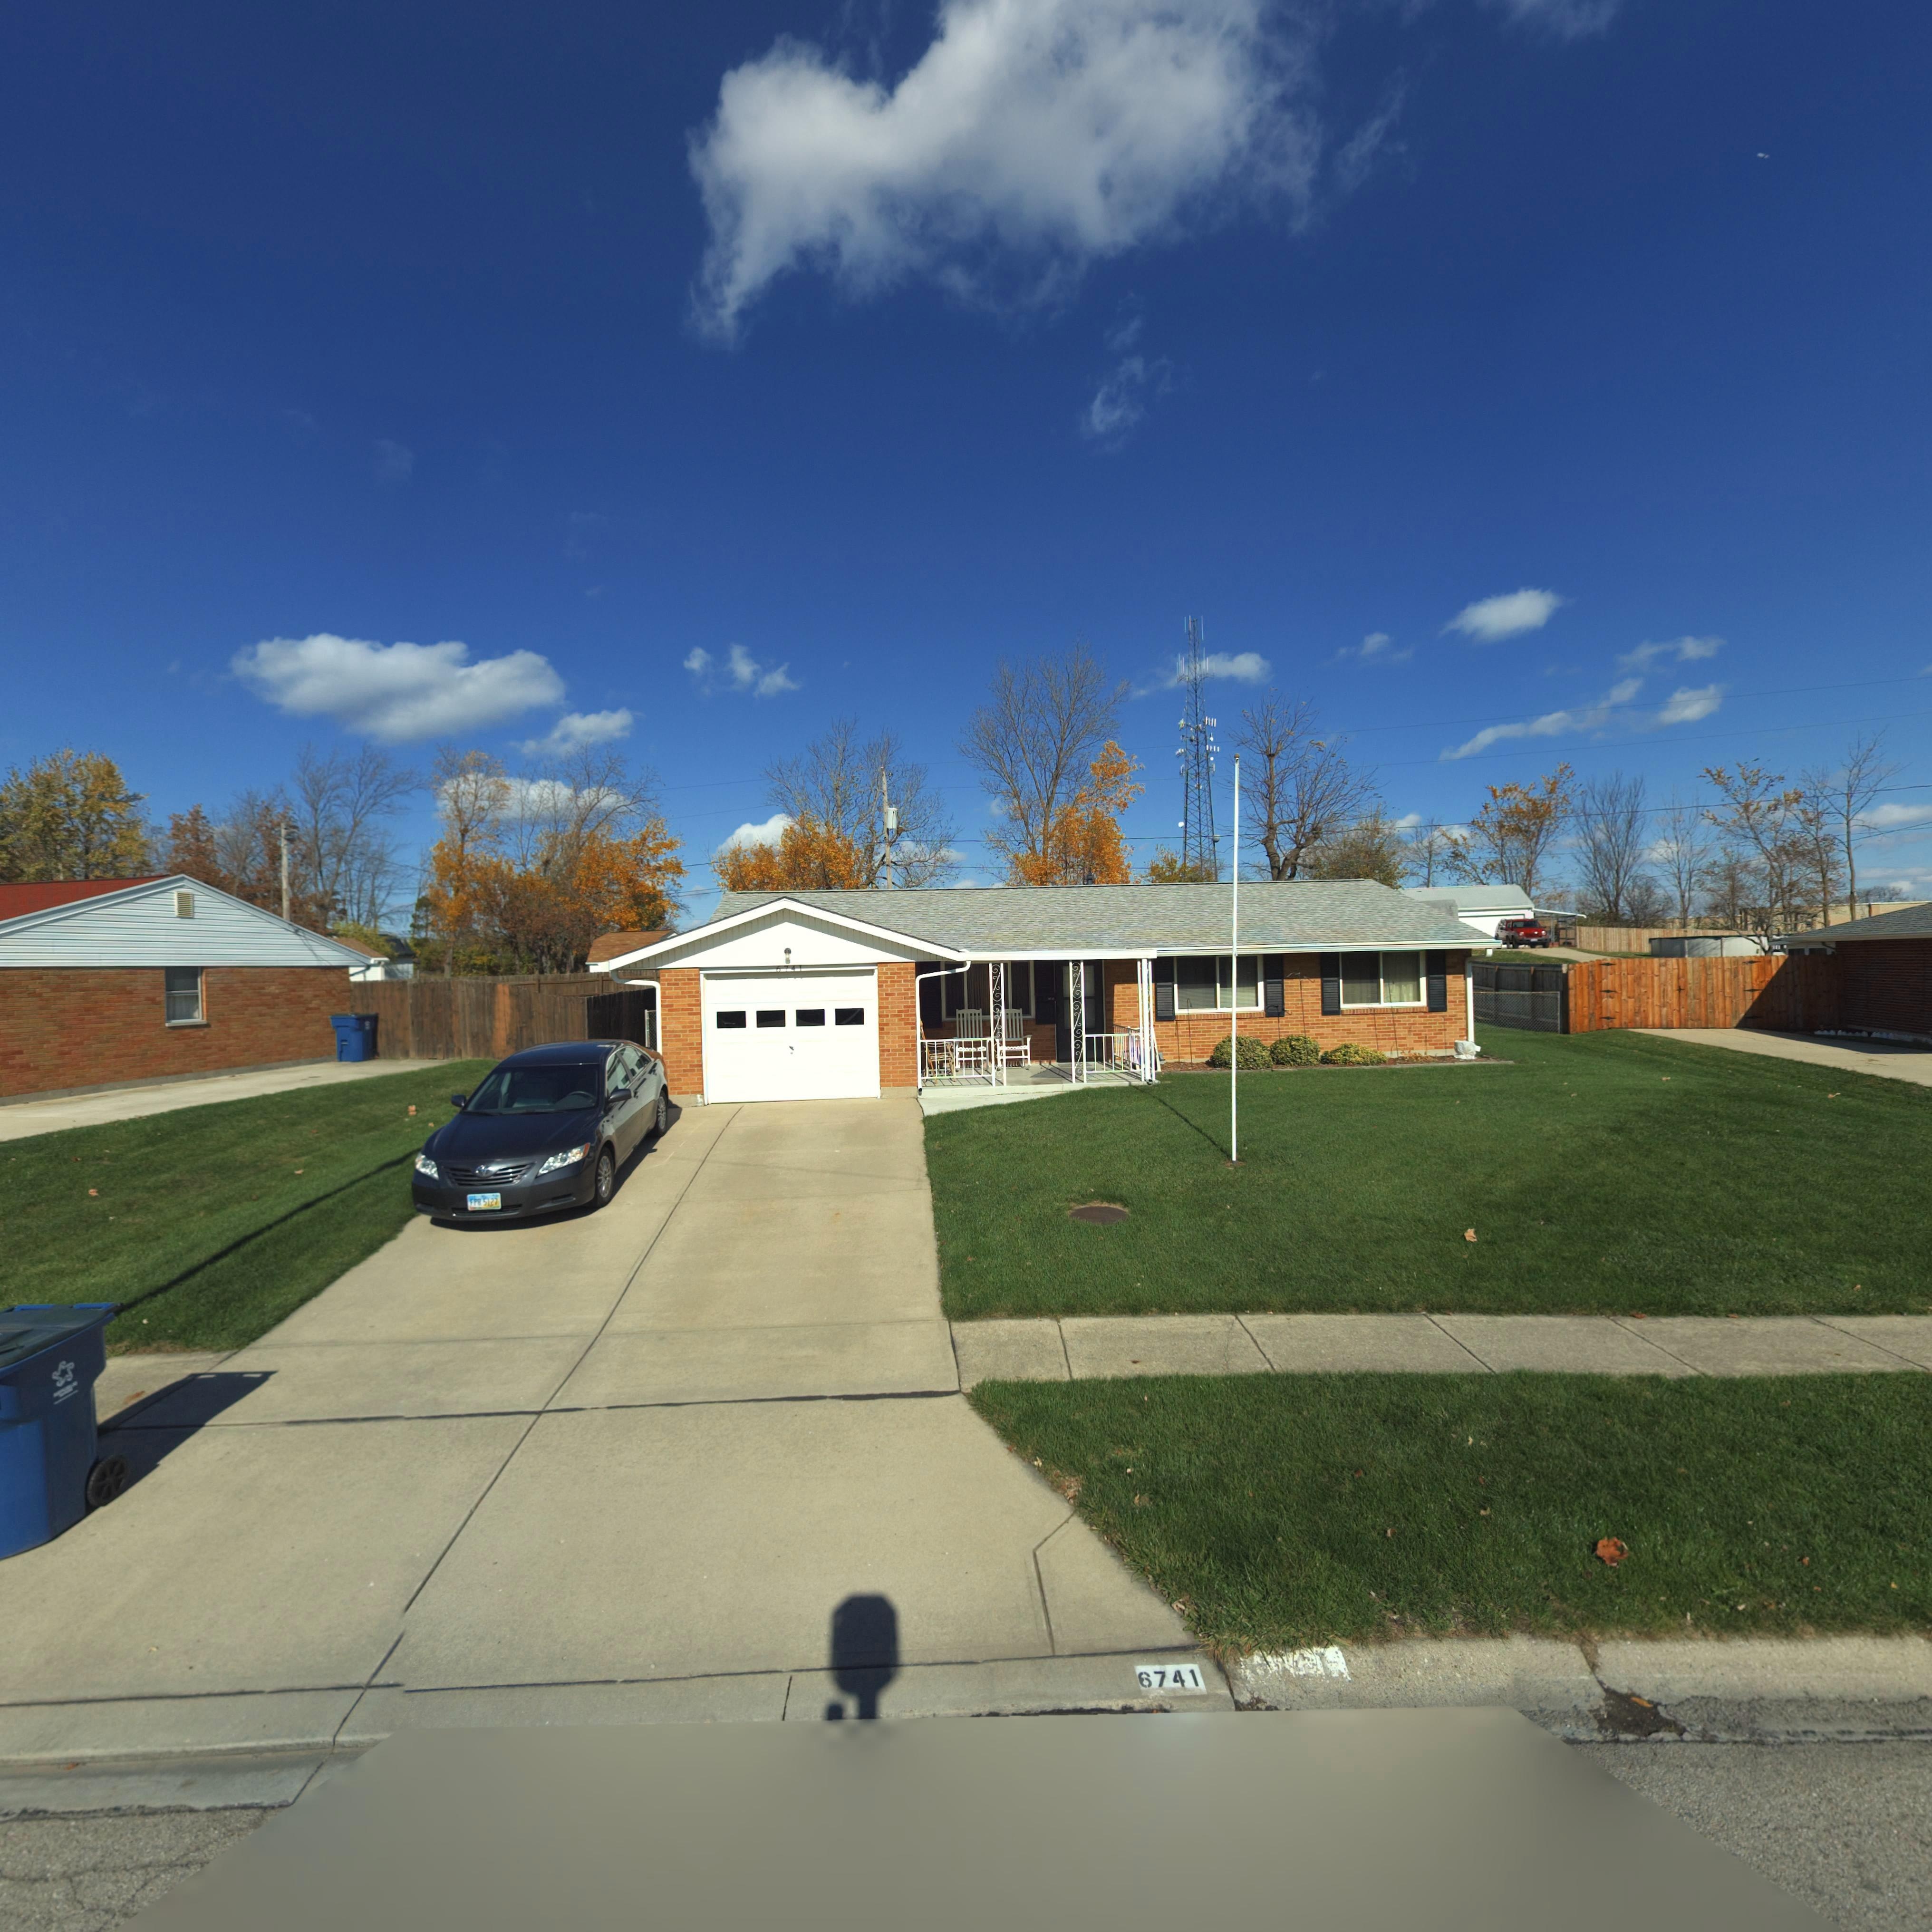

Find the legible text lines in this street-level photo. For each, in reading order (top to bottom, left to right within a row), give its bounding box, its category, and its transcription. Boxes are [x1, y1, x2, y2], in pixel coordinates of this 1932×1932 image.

[774, 964, 802, 974] StreetNumber: 6741
[1135, 1666, 1201, 1690] StreetNumber: 6741